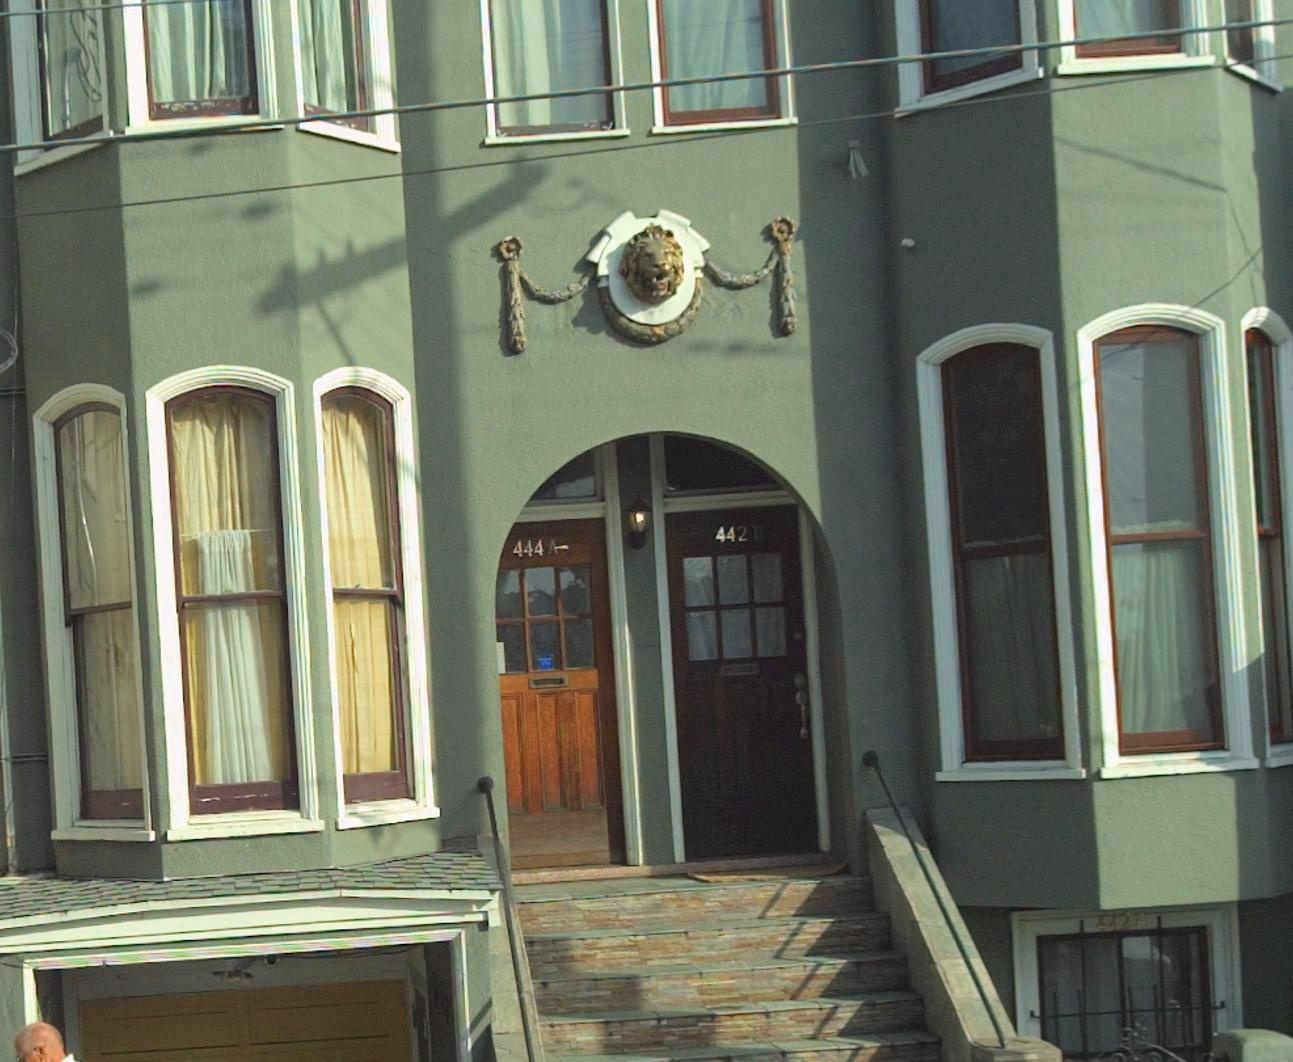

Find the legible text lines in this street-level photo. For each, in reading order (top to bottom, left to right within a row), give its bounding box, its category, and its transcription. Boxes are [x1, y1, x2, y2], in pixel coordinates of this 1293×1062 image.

[711, 520, 769, 545] StreetNumber: 442 B
[511, 535, 563, 561] StreetNumber: 444 A